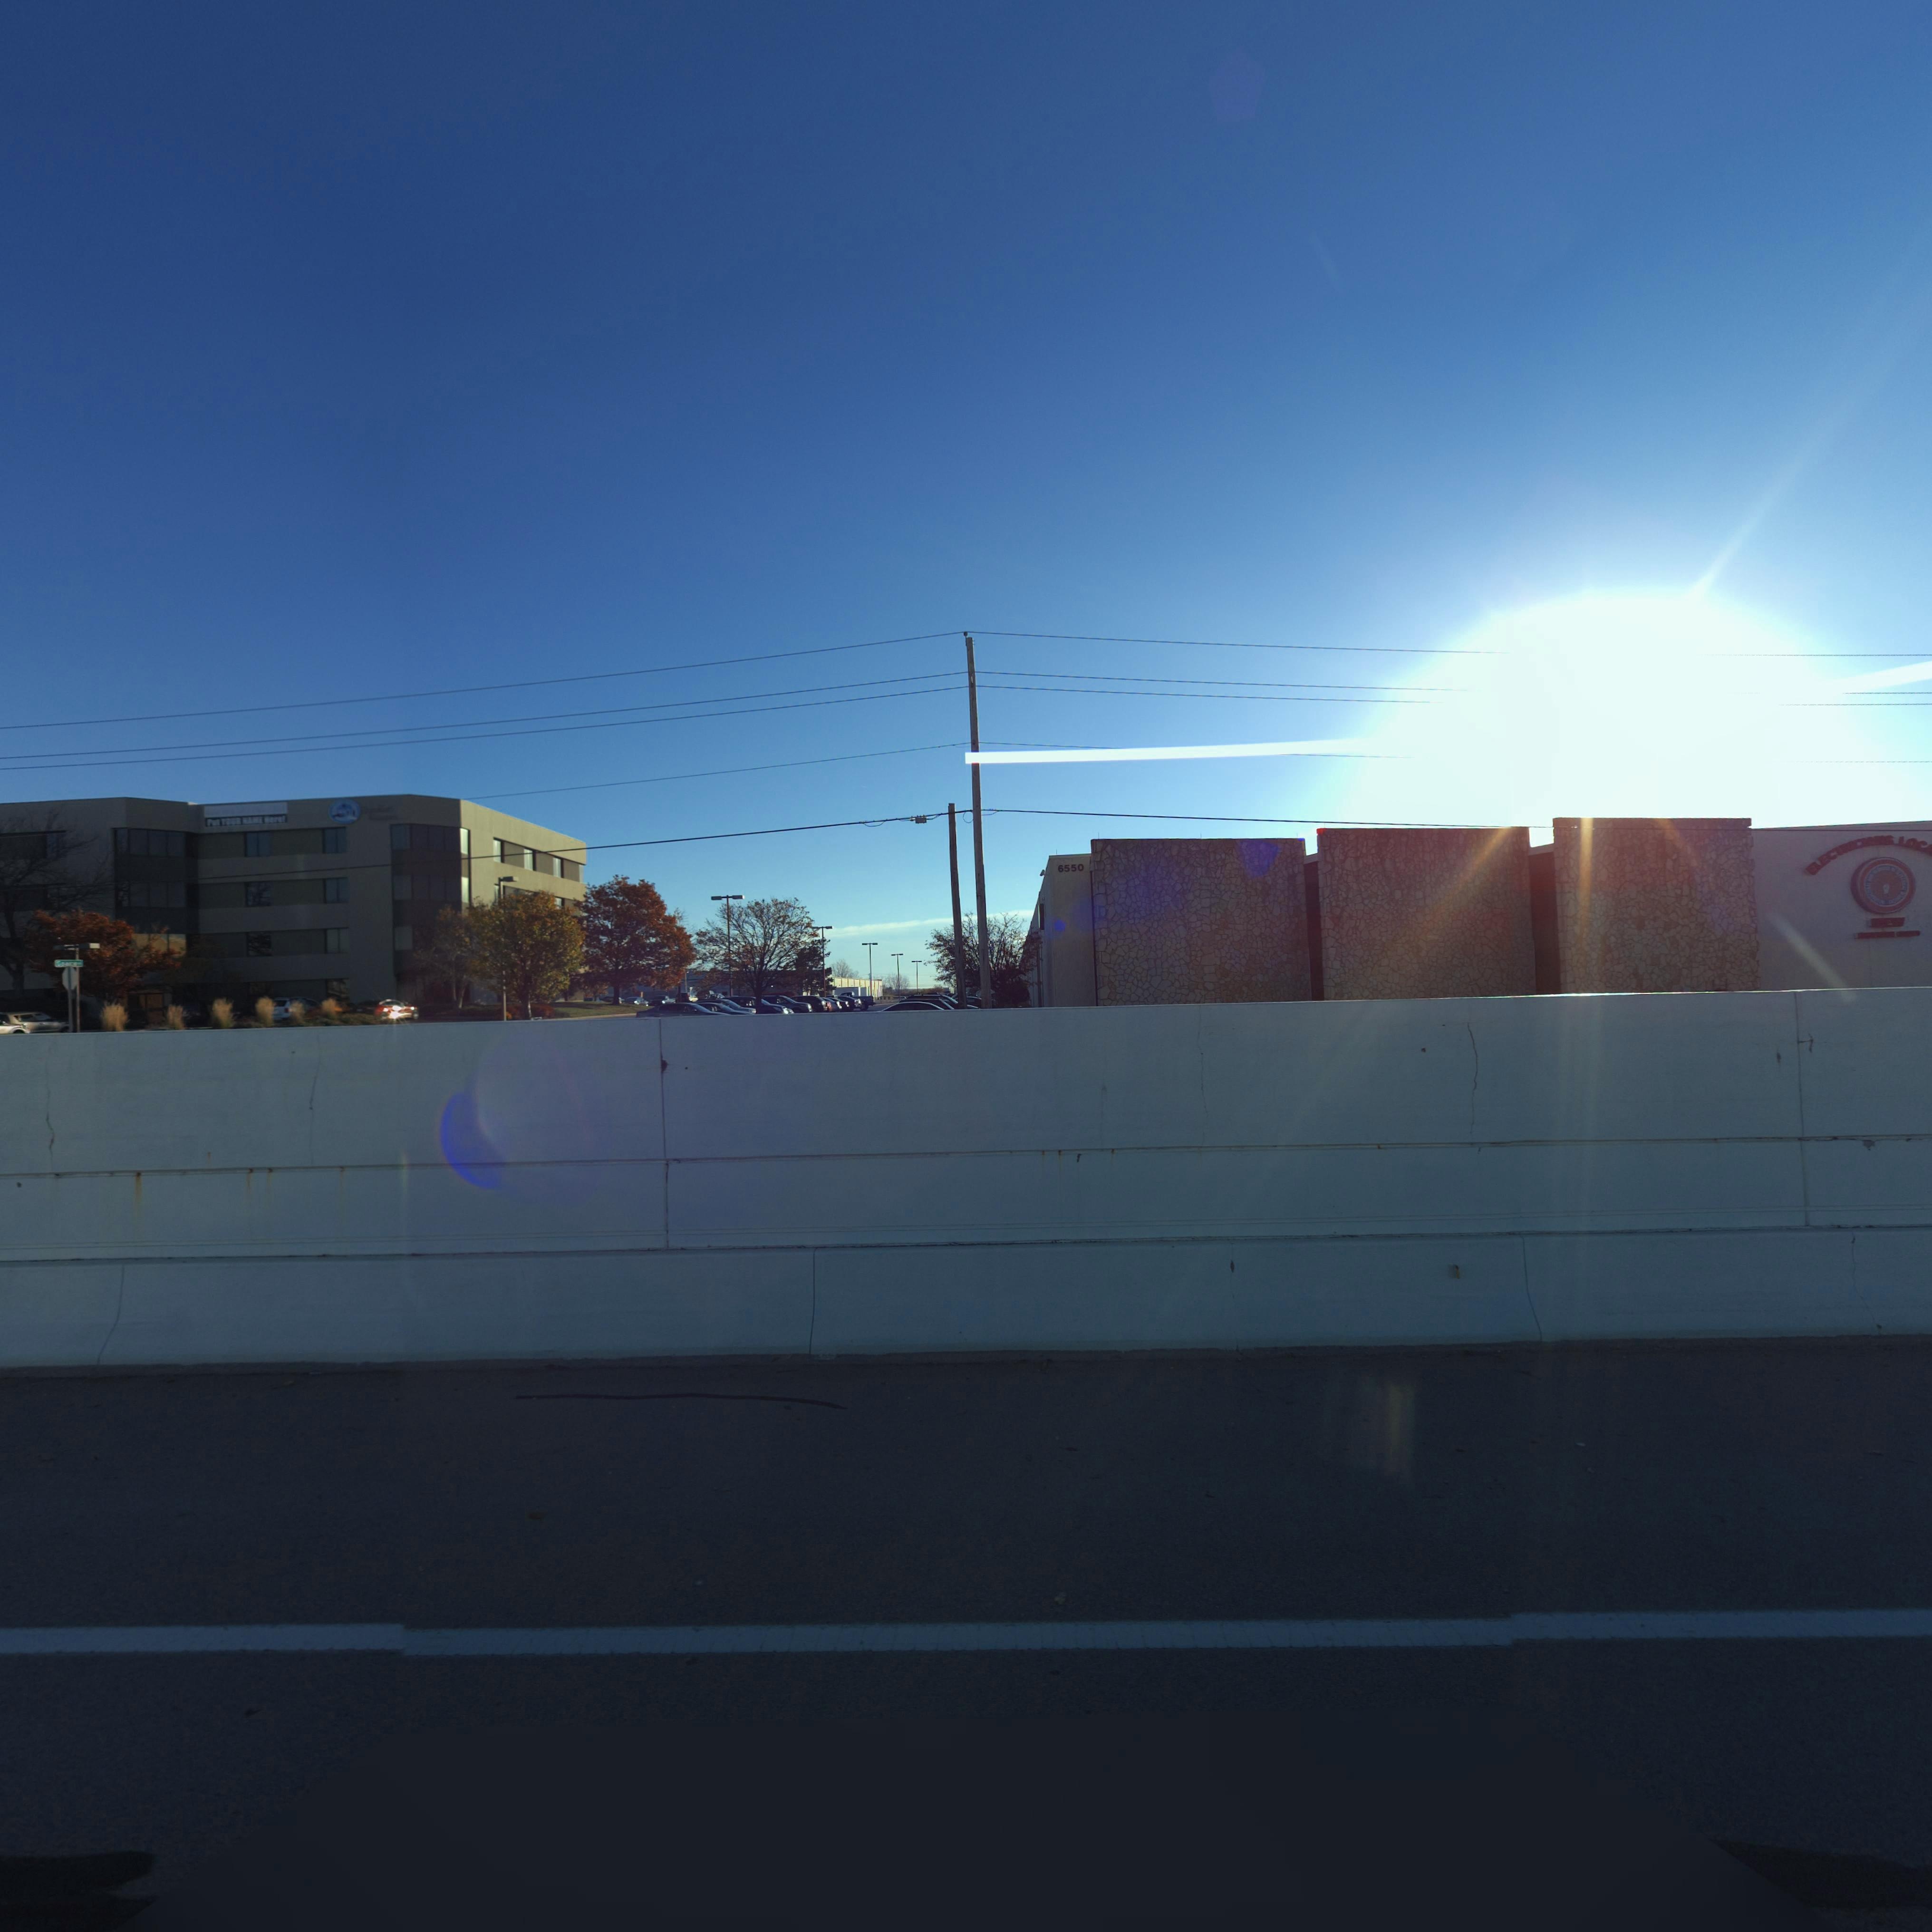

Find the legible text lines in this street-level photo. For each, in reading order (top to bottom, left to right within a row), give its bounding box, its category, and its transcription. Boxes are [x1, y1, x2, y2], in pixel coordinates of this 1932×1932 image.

[1897, 833, 1929, 854] None: LOC
[1805, 833, 1896, 878] None: ELECTRICIANS
[1057, 862, 1085, 874] StreetNumber: 6550